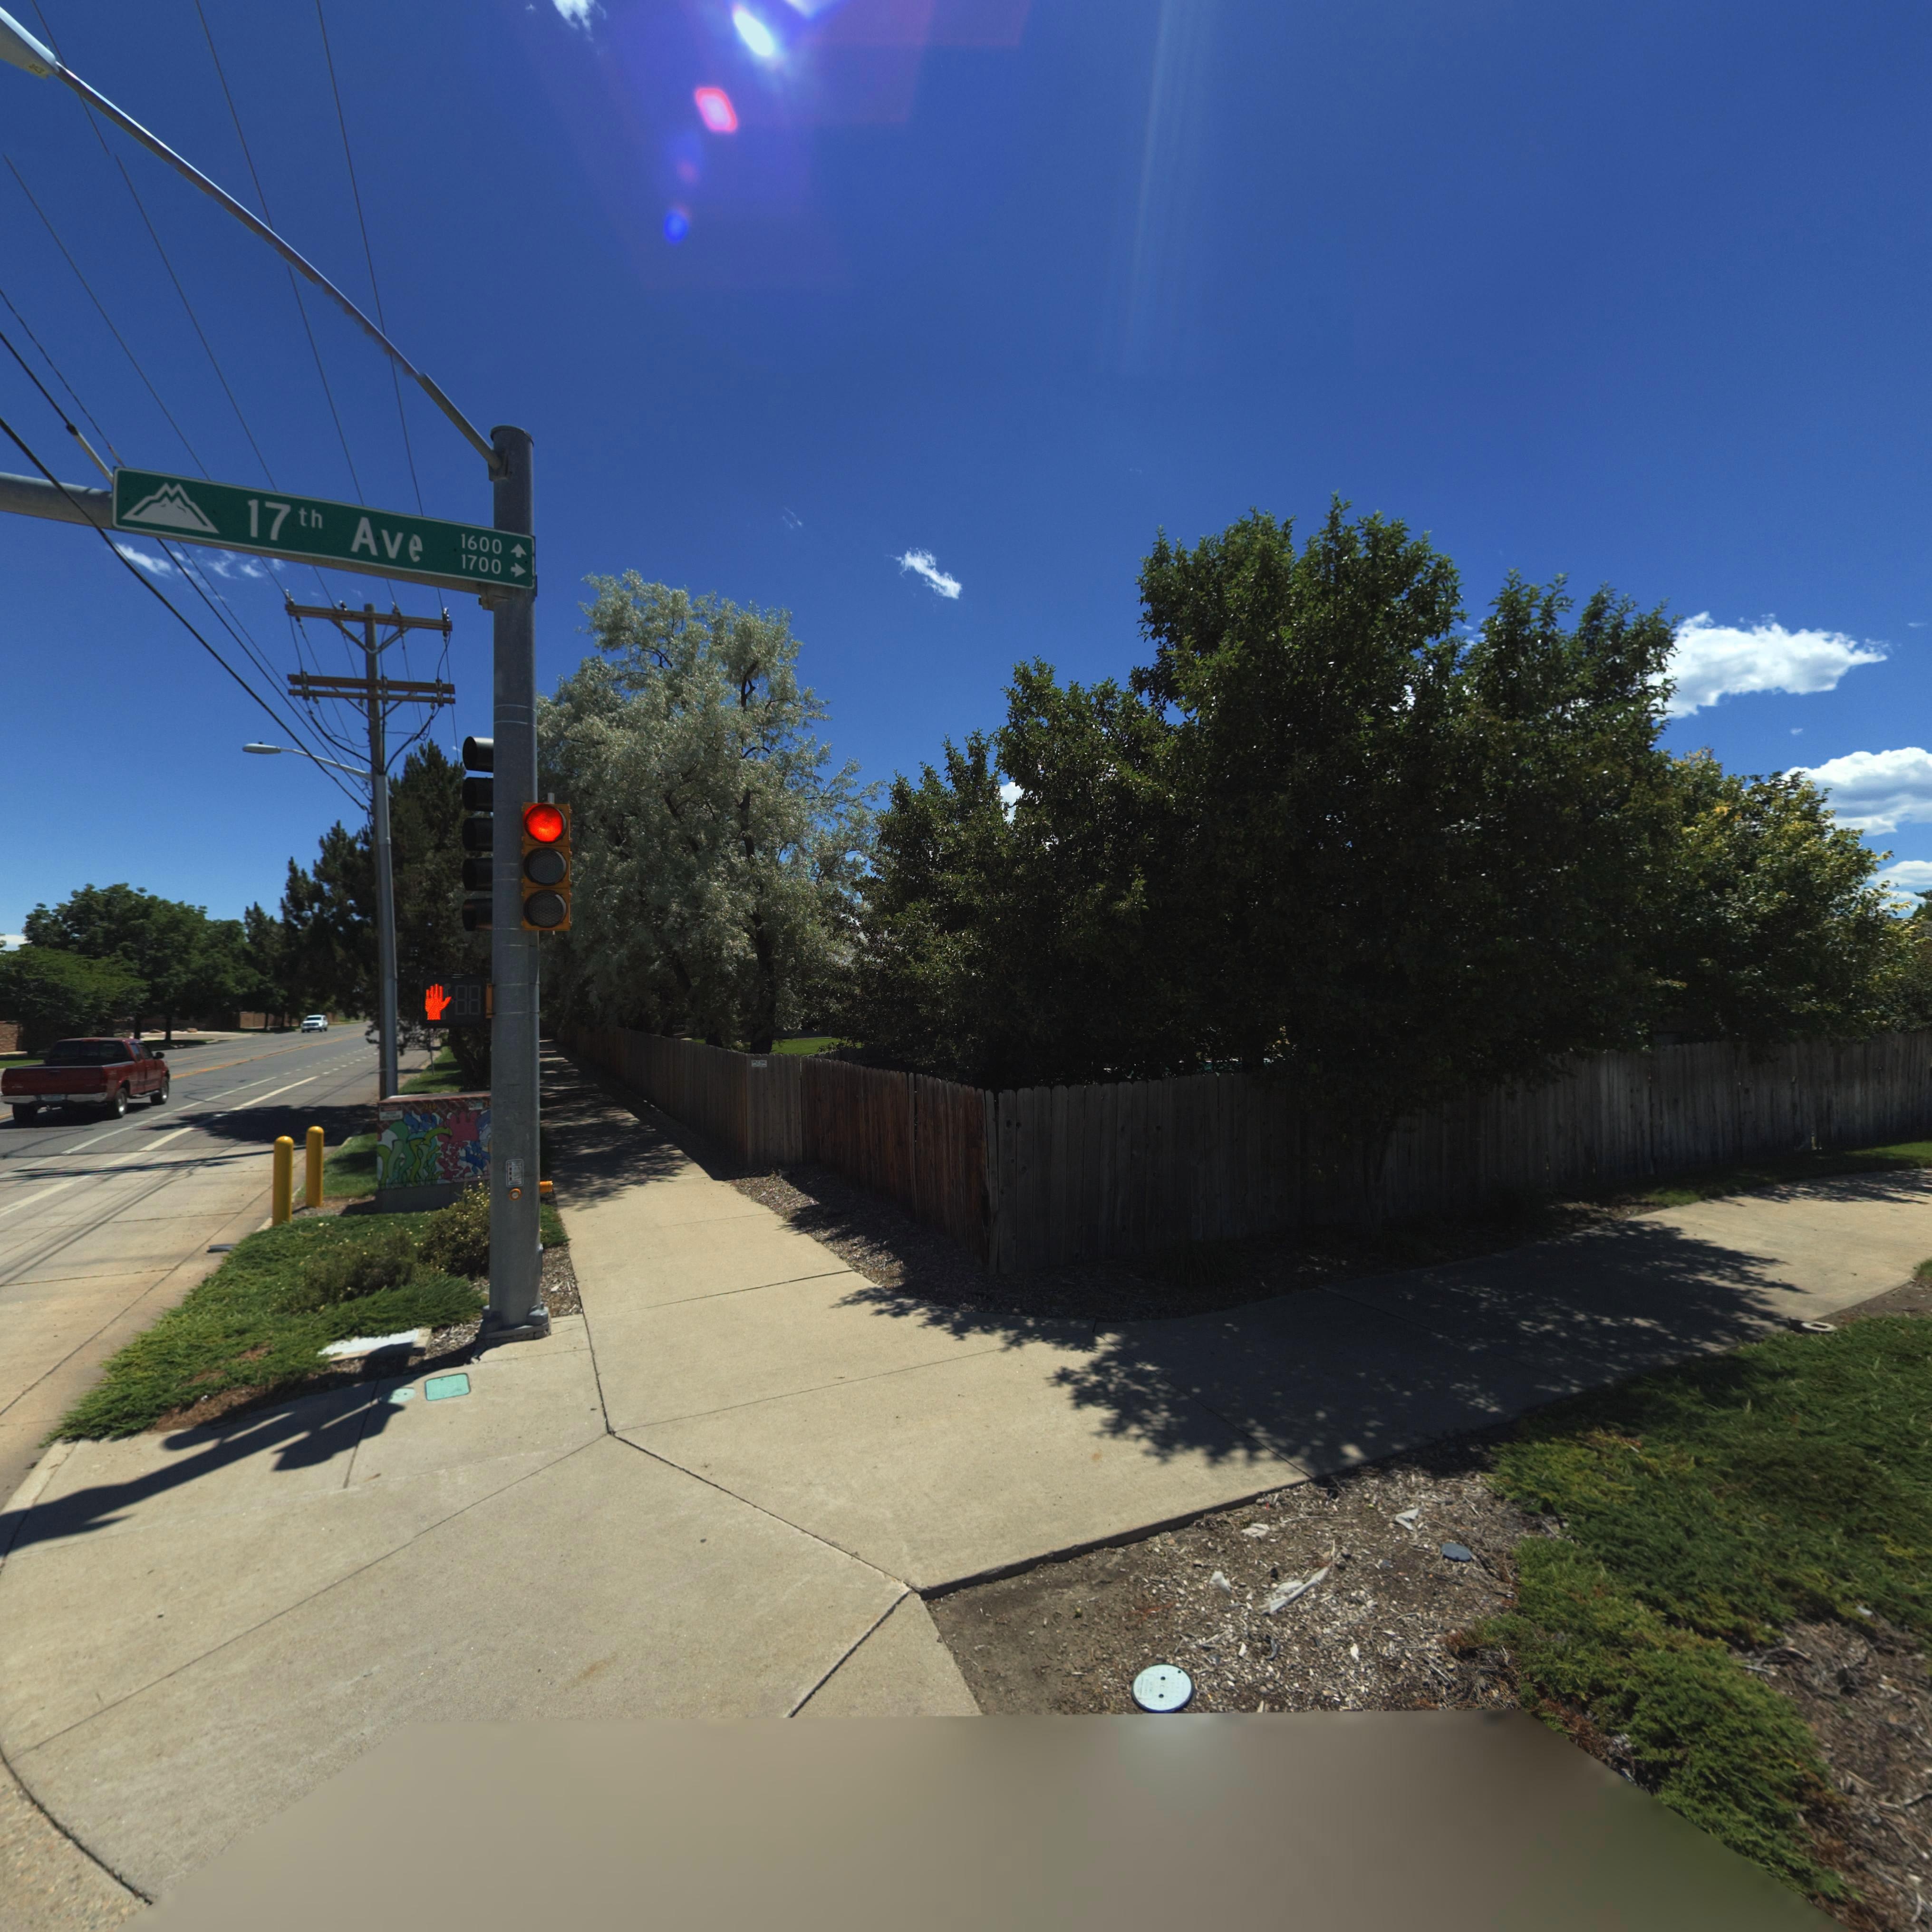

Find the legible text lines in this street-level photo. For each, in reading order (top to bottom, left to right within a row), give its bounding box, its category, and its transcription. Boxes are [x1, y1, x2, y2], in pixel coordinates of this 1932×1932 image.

[245, 496, 425, 565] StreetName: 17th Ave
[460, 532, 502, 555] StreetNumberRange: 1600
[460, 553, 530, 579] StreetNumberRange: 1700 ->